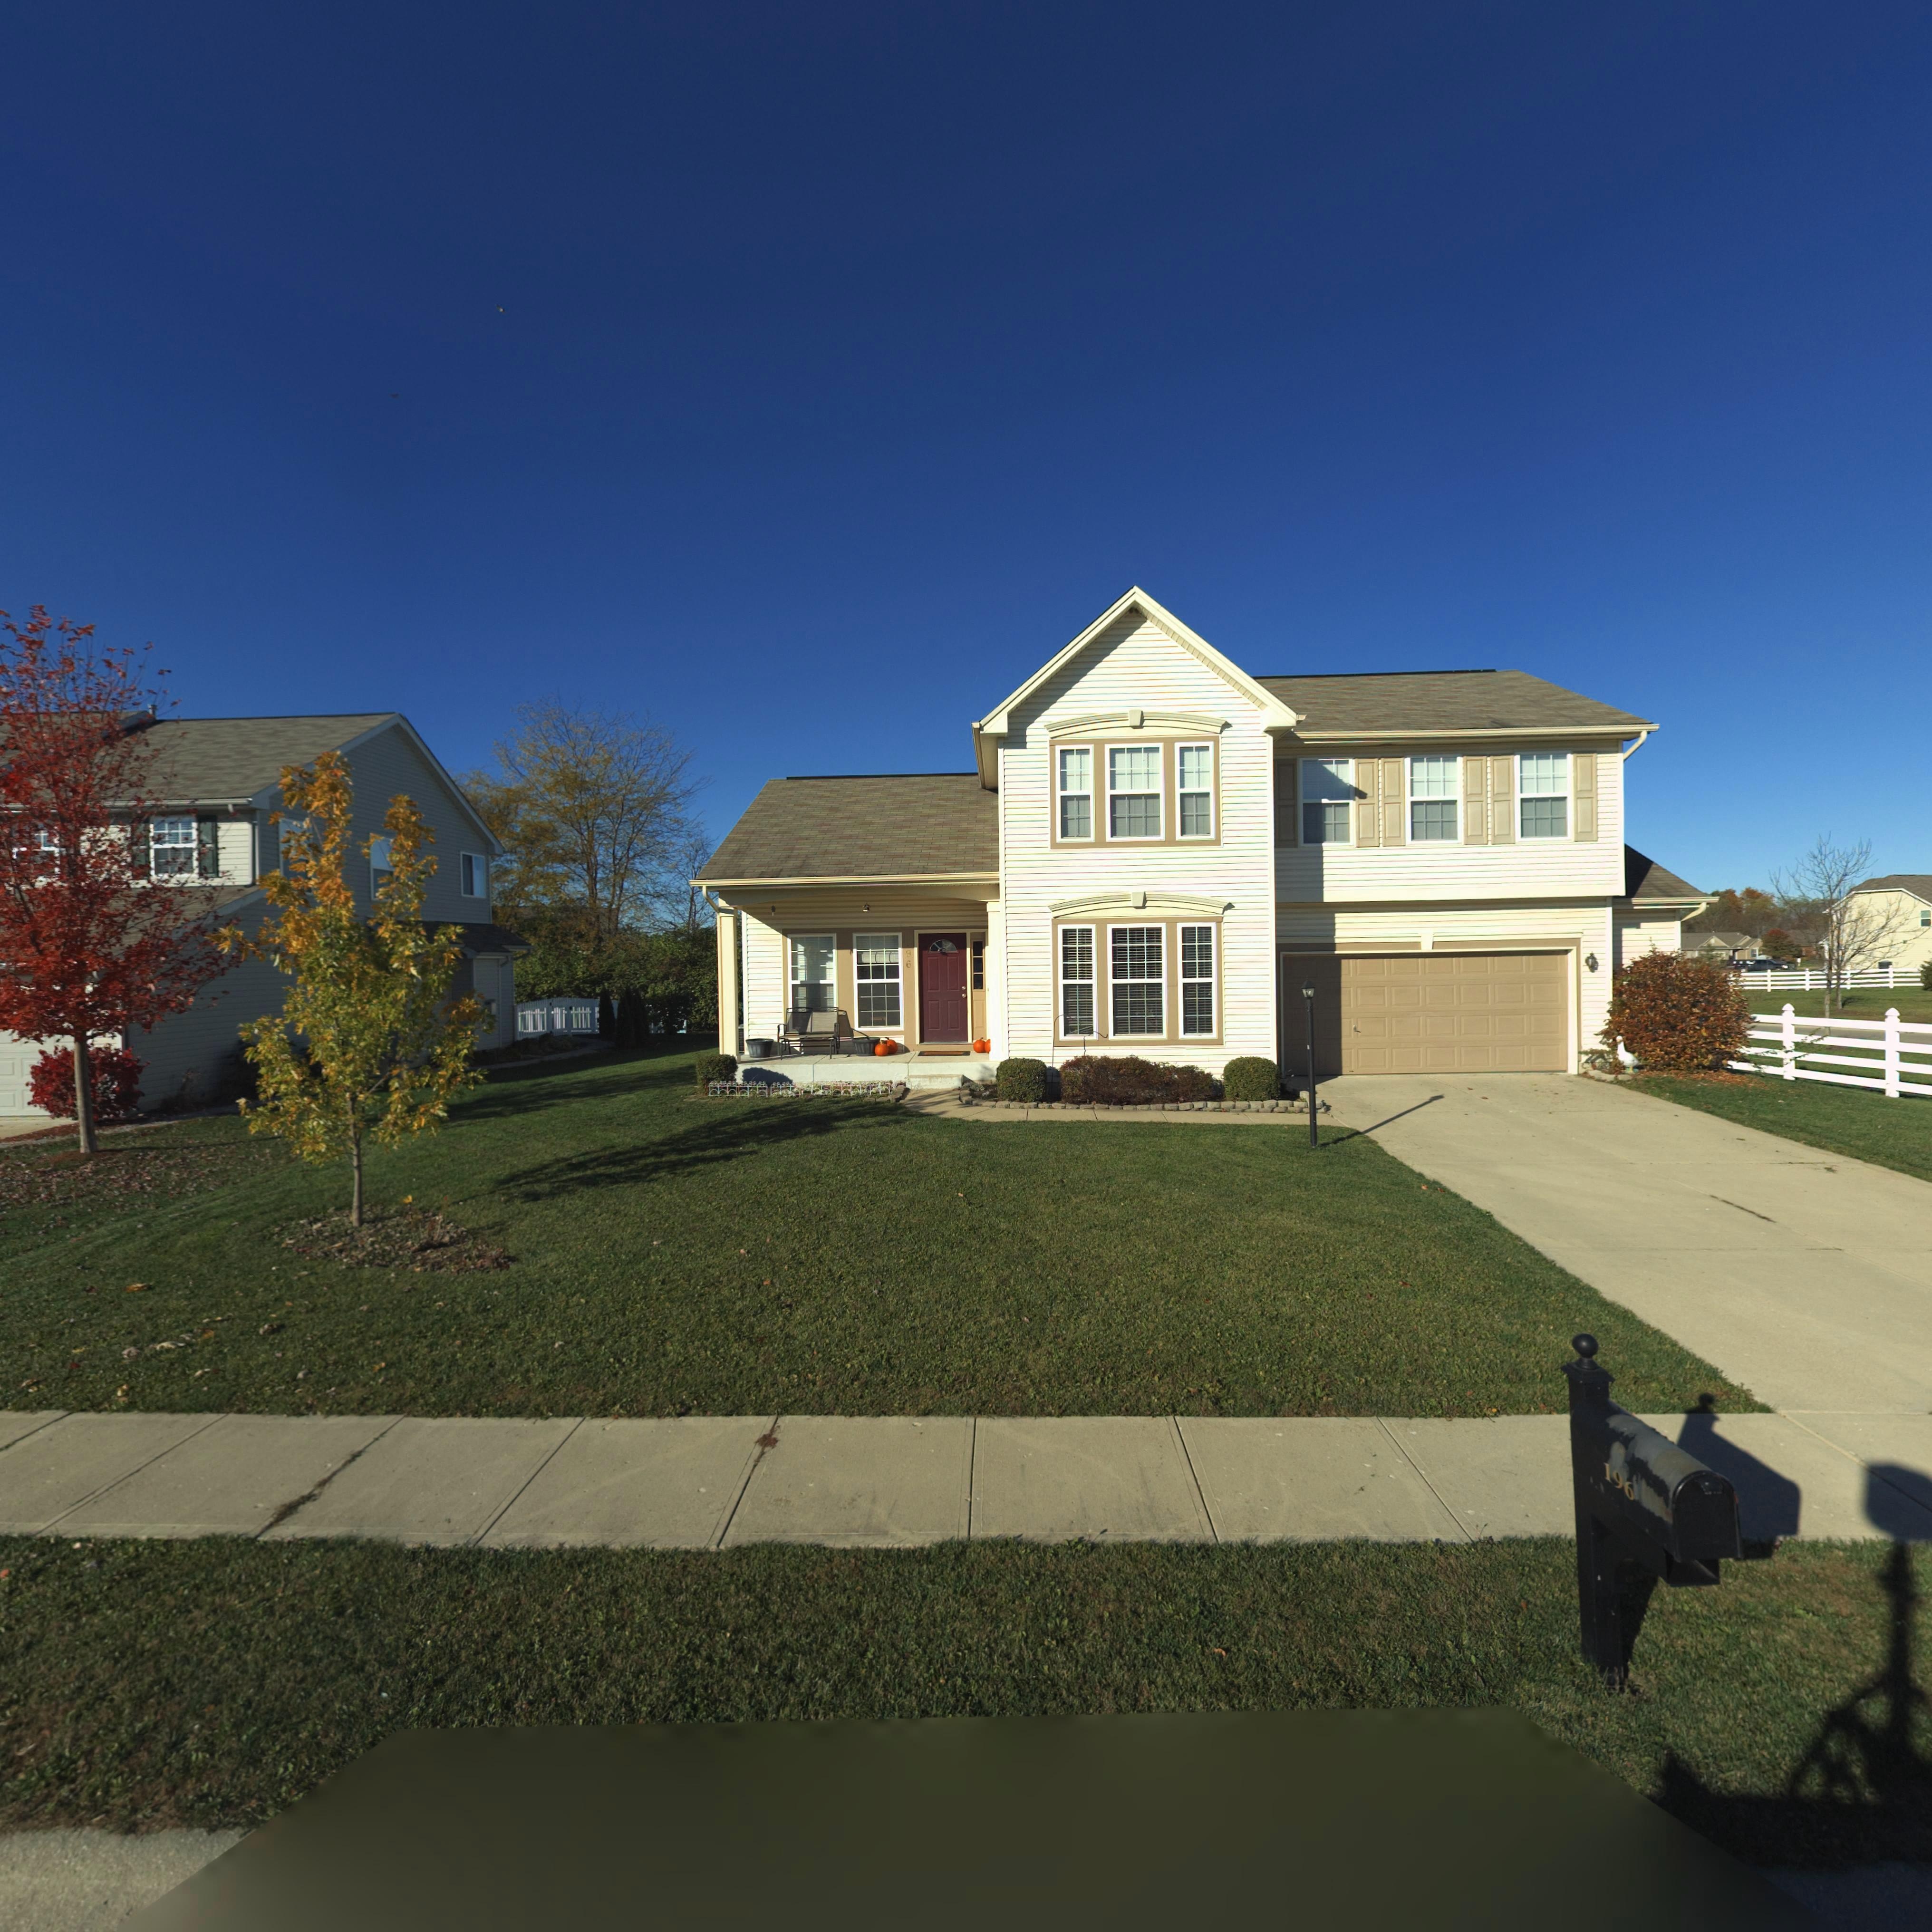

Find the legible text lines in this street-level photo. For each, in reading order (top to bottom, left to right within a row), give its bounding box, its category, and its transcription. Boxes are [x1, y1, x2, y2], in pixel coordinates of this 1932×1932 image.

[903, 937, 912, 968] StreetNumber: 196
[1602, 1459, 1637, 1503] StreetNumber: 196